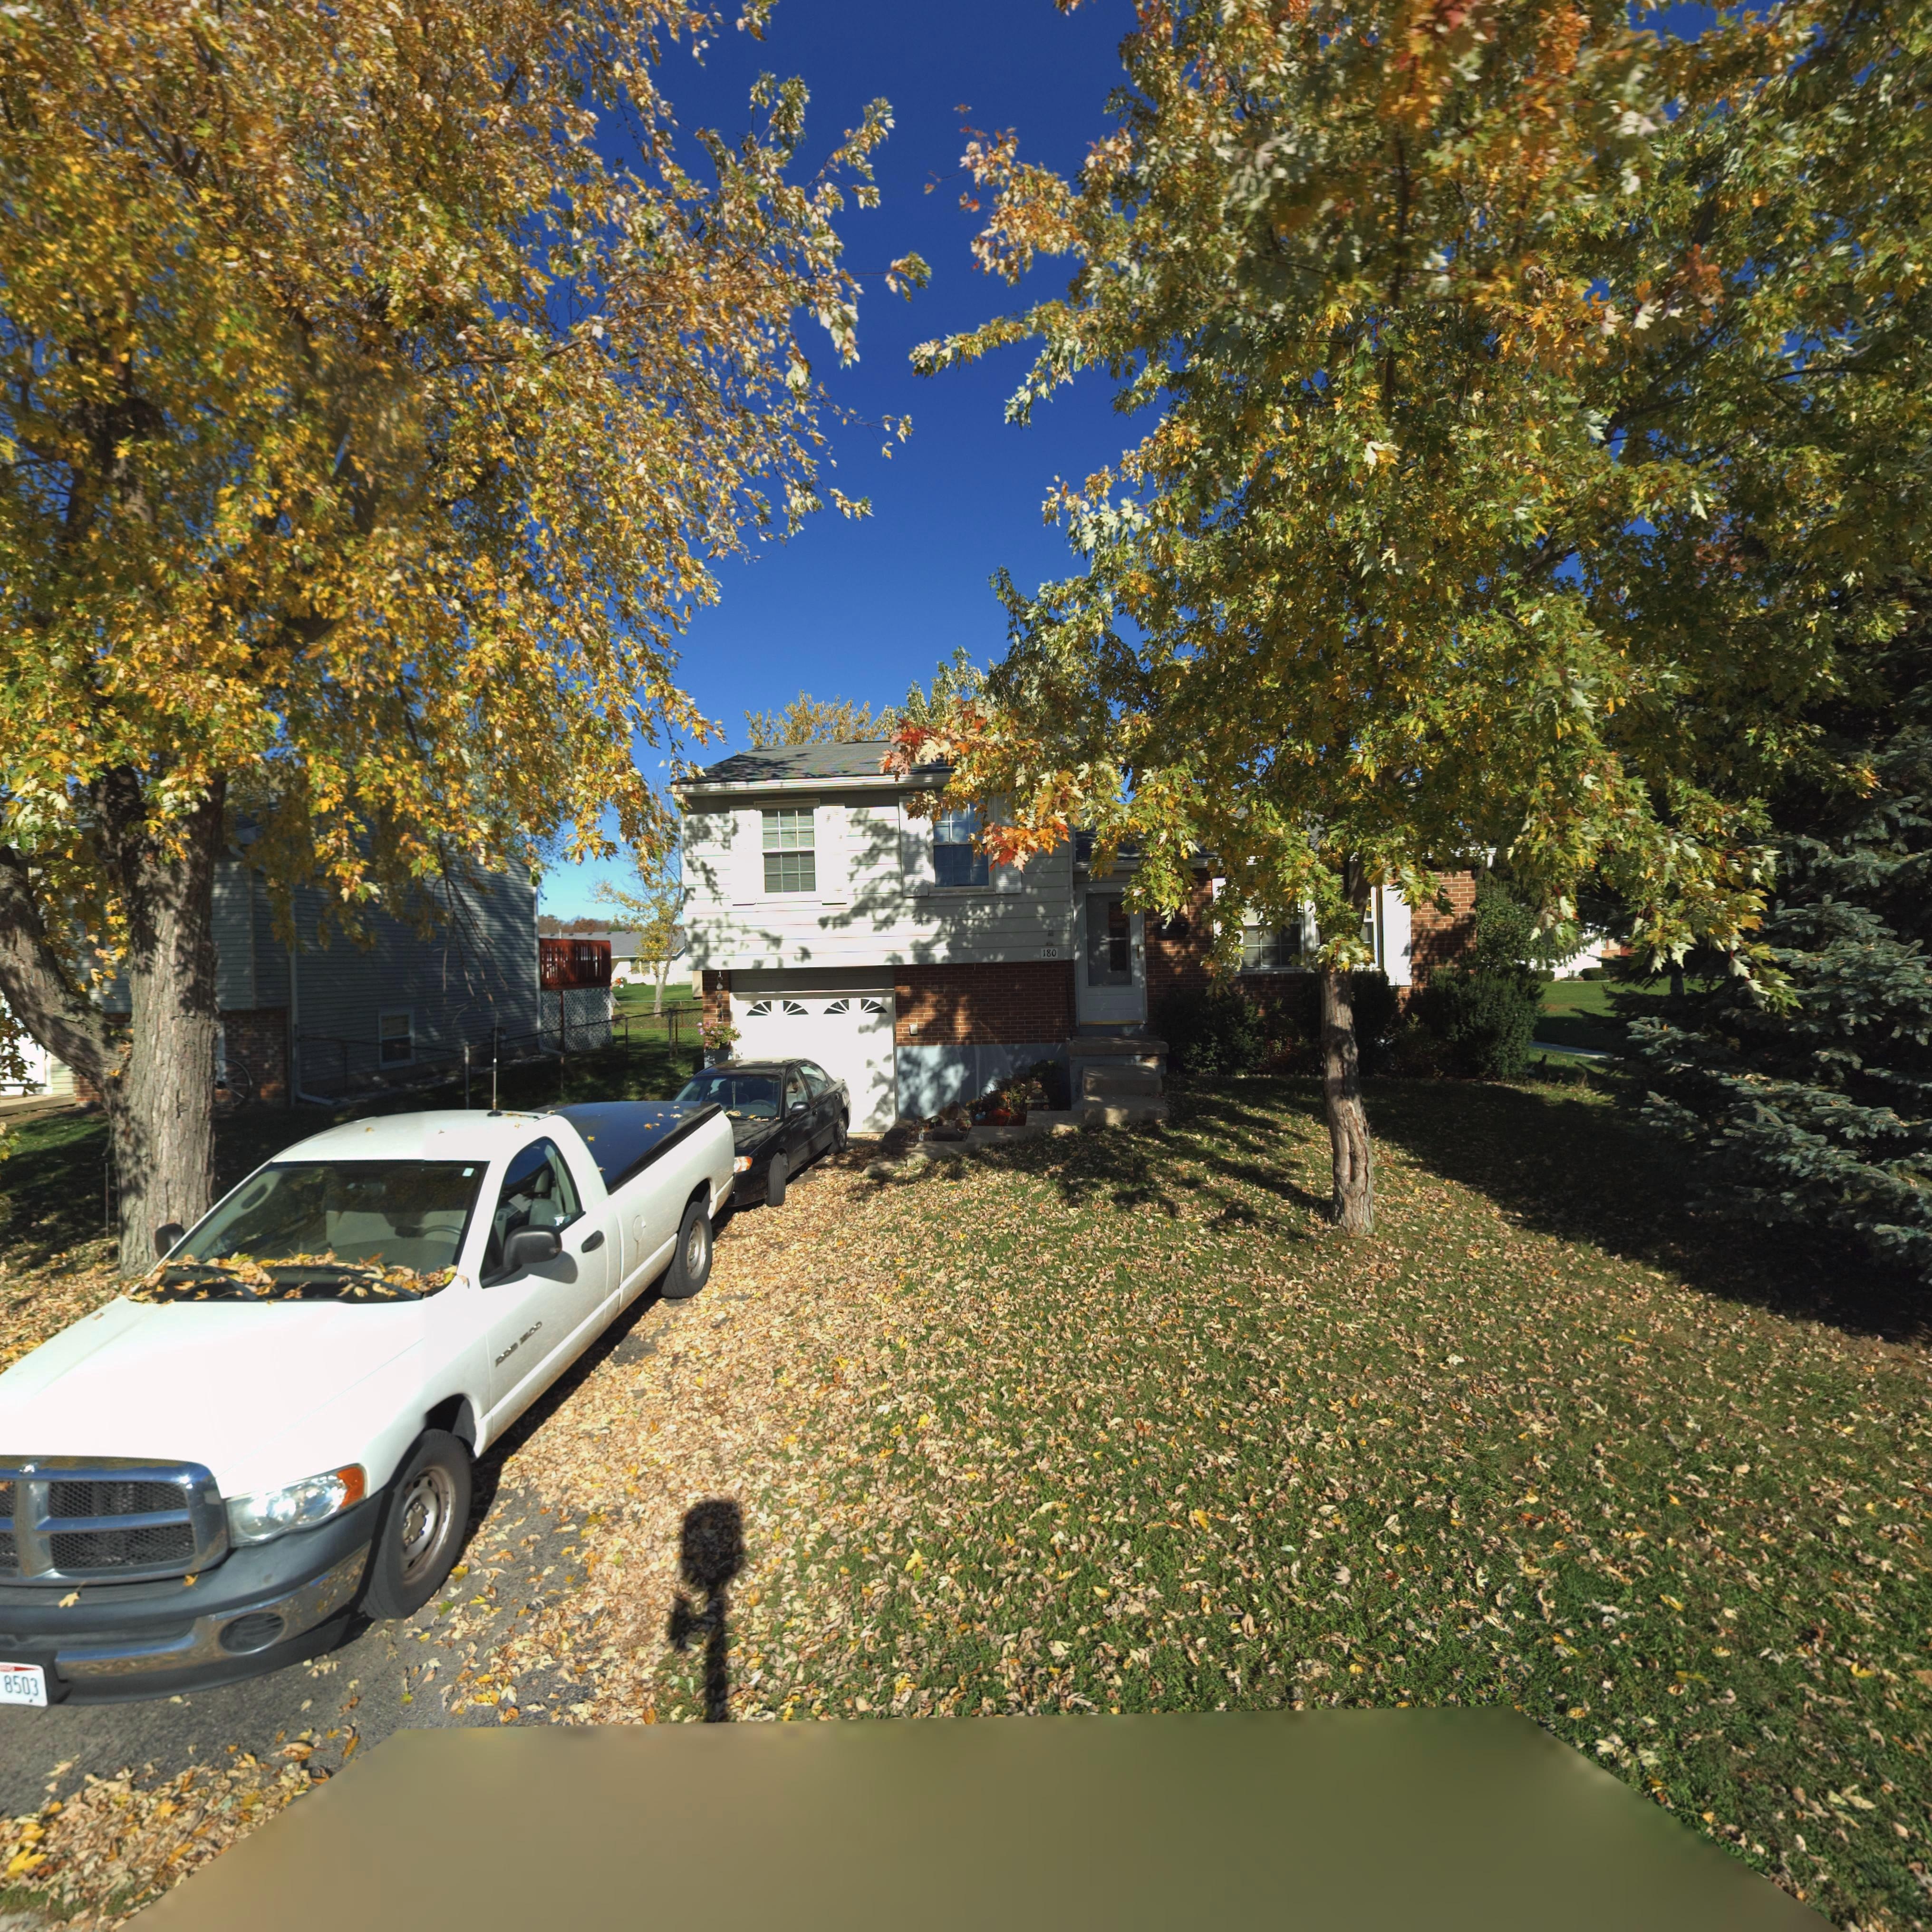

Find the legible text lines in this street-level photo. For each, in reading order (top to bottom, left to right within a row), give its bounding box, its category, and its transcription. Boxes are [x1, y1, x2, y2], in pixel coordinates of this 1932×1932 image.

[1042, 948, 1057, 958] StreetNumber: 180